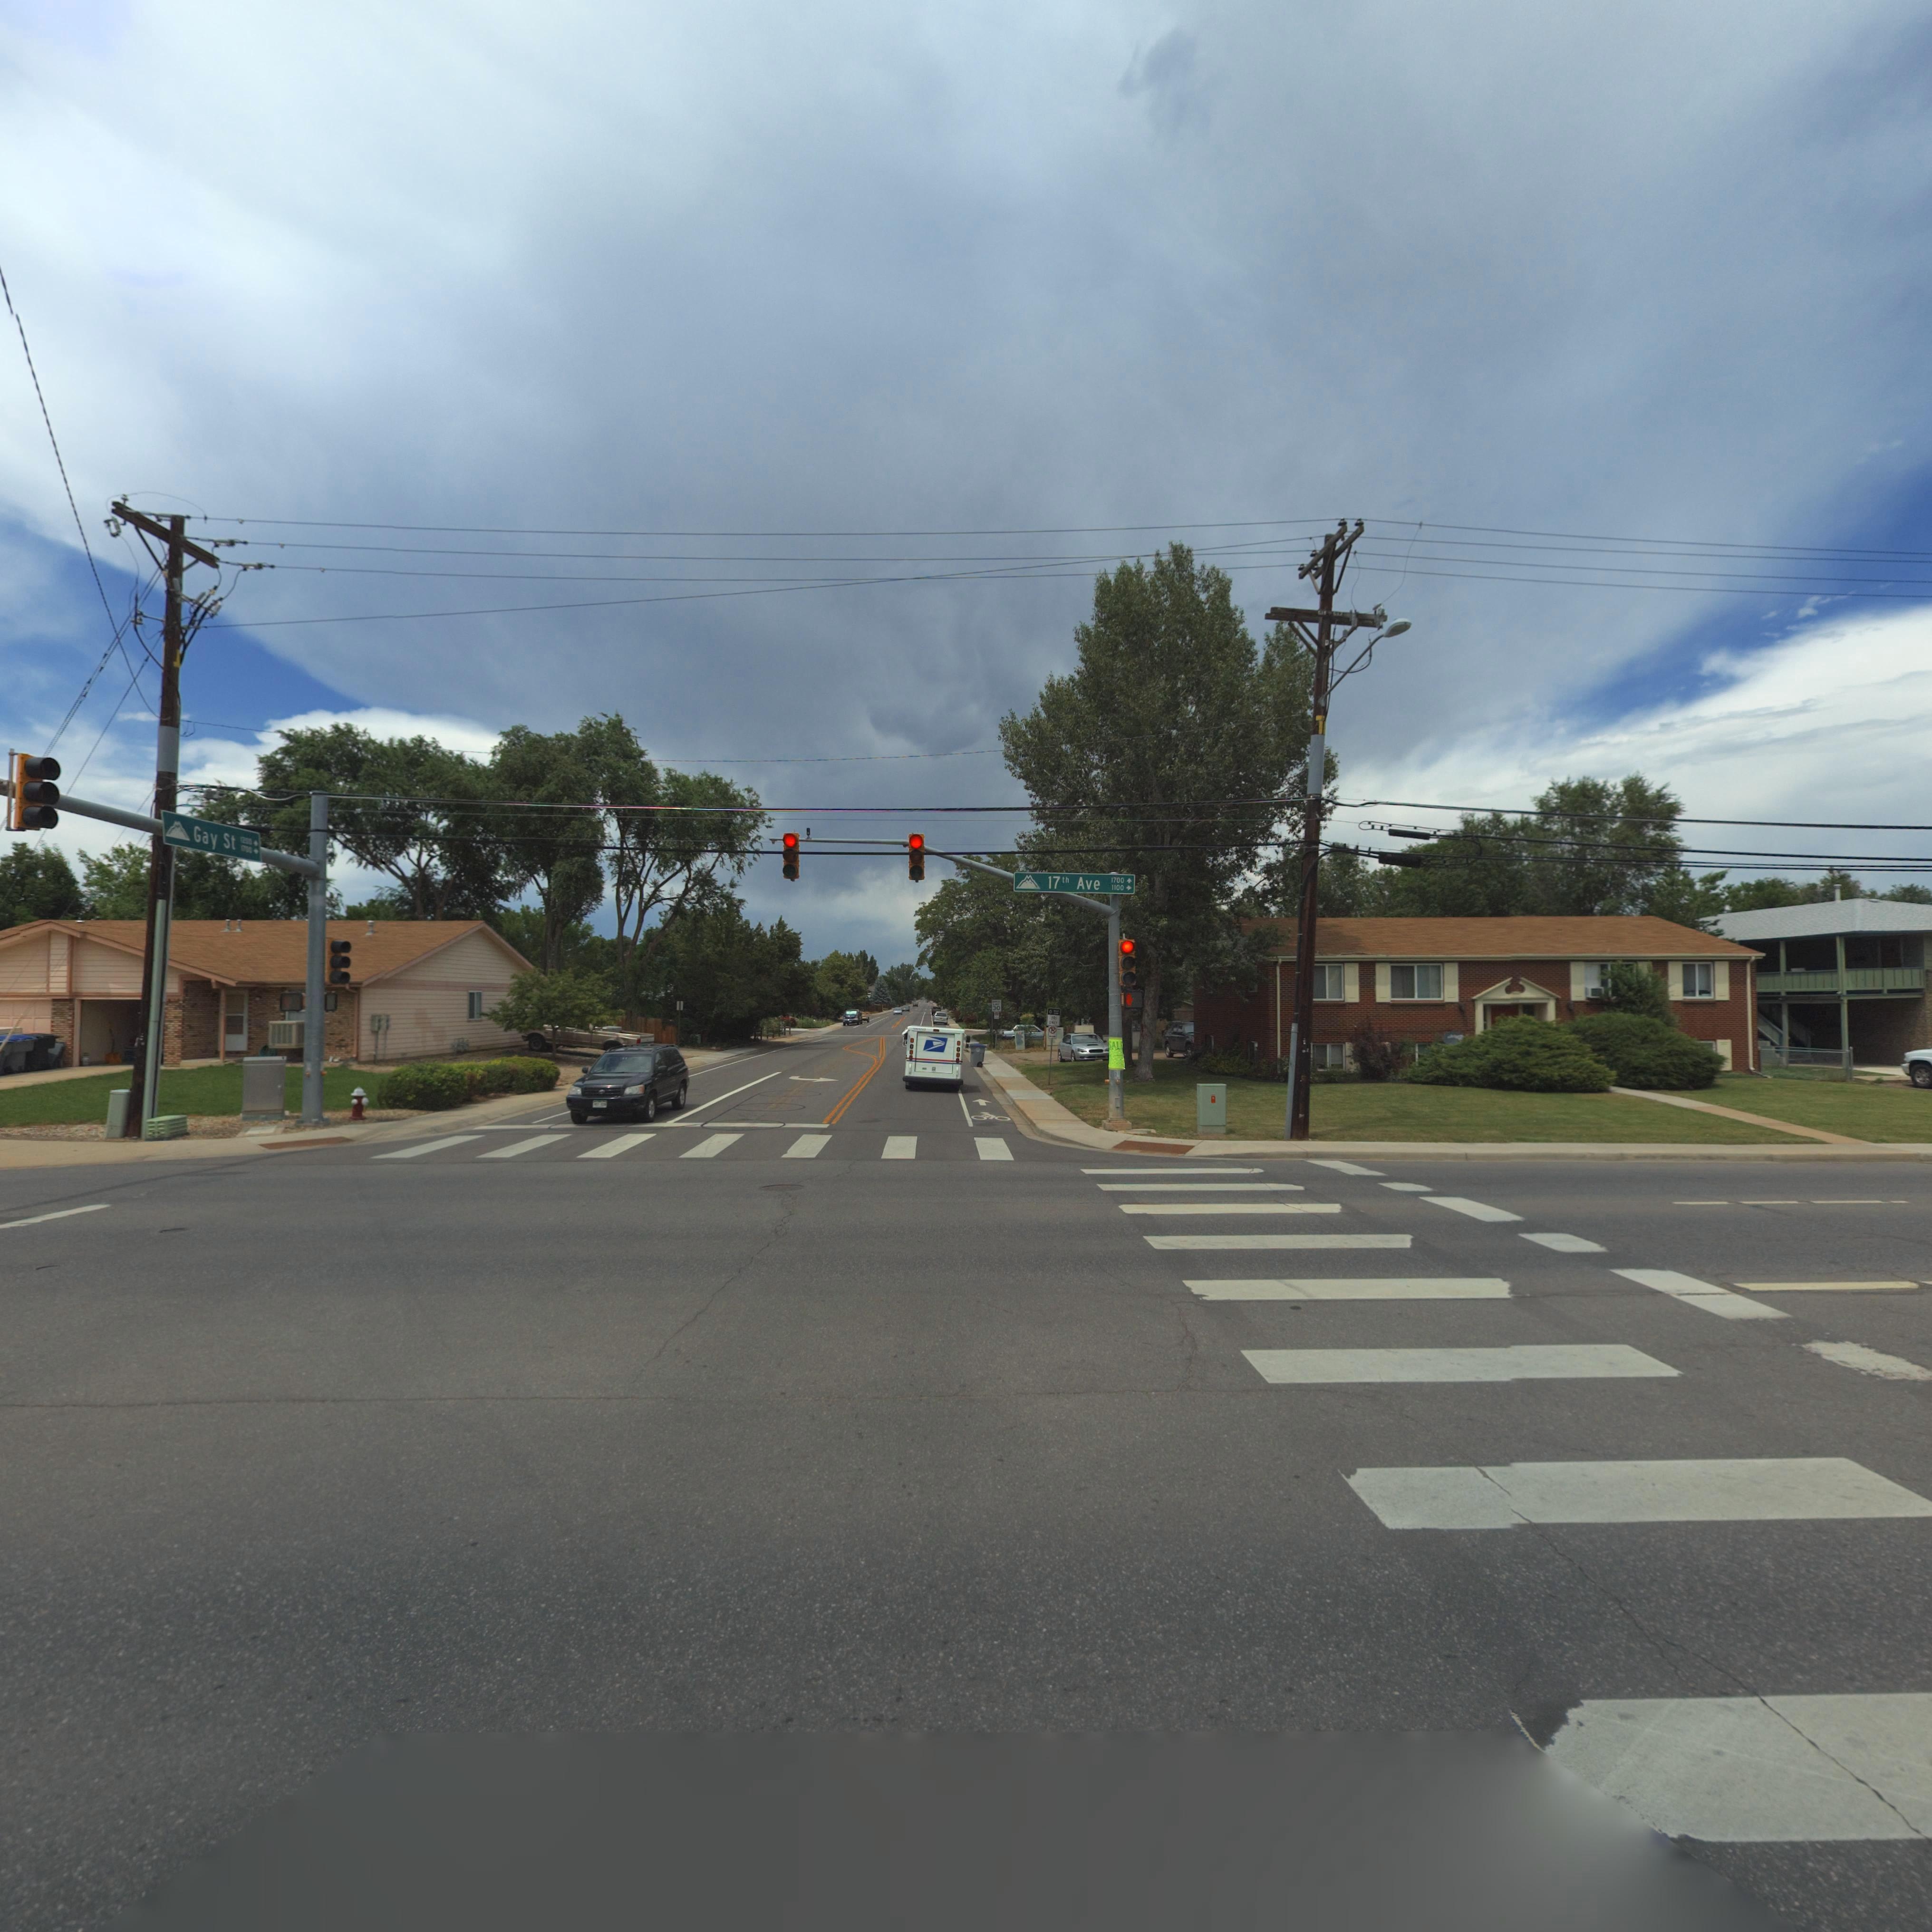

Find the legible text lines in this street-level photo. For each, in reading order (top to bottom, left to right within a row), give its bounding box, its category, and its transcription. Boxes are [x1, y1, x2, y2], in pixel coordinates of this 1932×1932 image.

[193, 825, 236, 851] StreetName: Gay St
[239, 835, 253, 845] StreetNumberRange: 1200
[239, 844, 260, 854] StreetNumberRange: 1*00->
[1047, 875, 1101, 890] StreetName: 17th Ave
[1111, 876, 1125, 884] StreetNumberRange: 1700
[1111, 884, 1133, 891] StreetNumberRange: 1100->